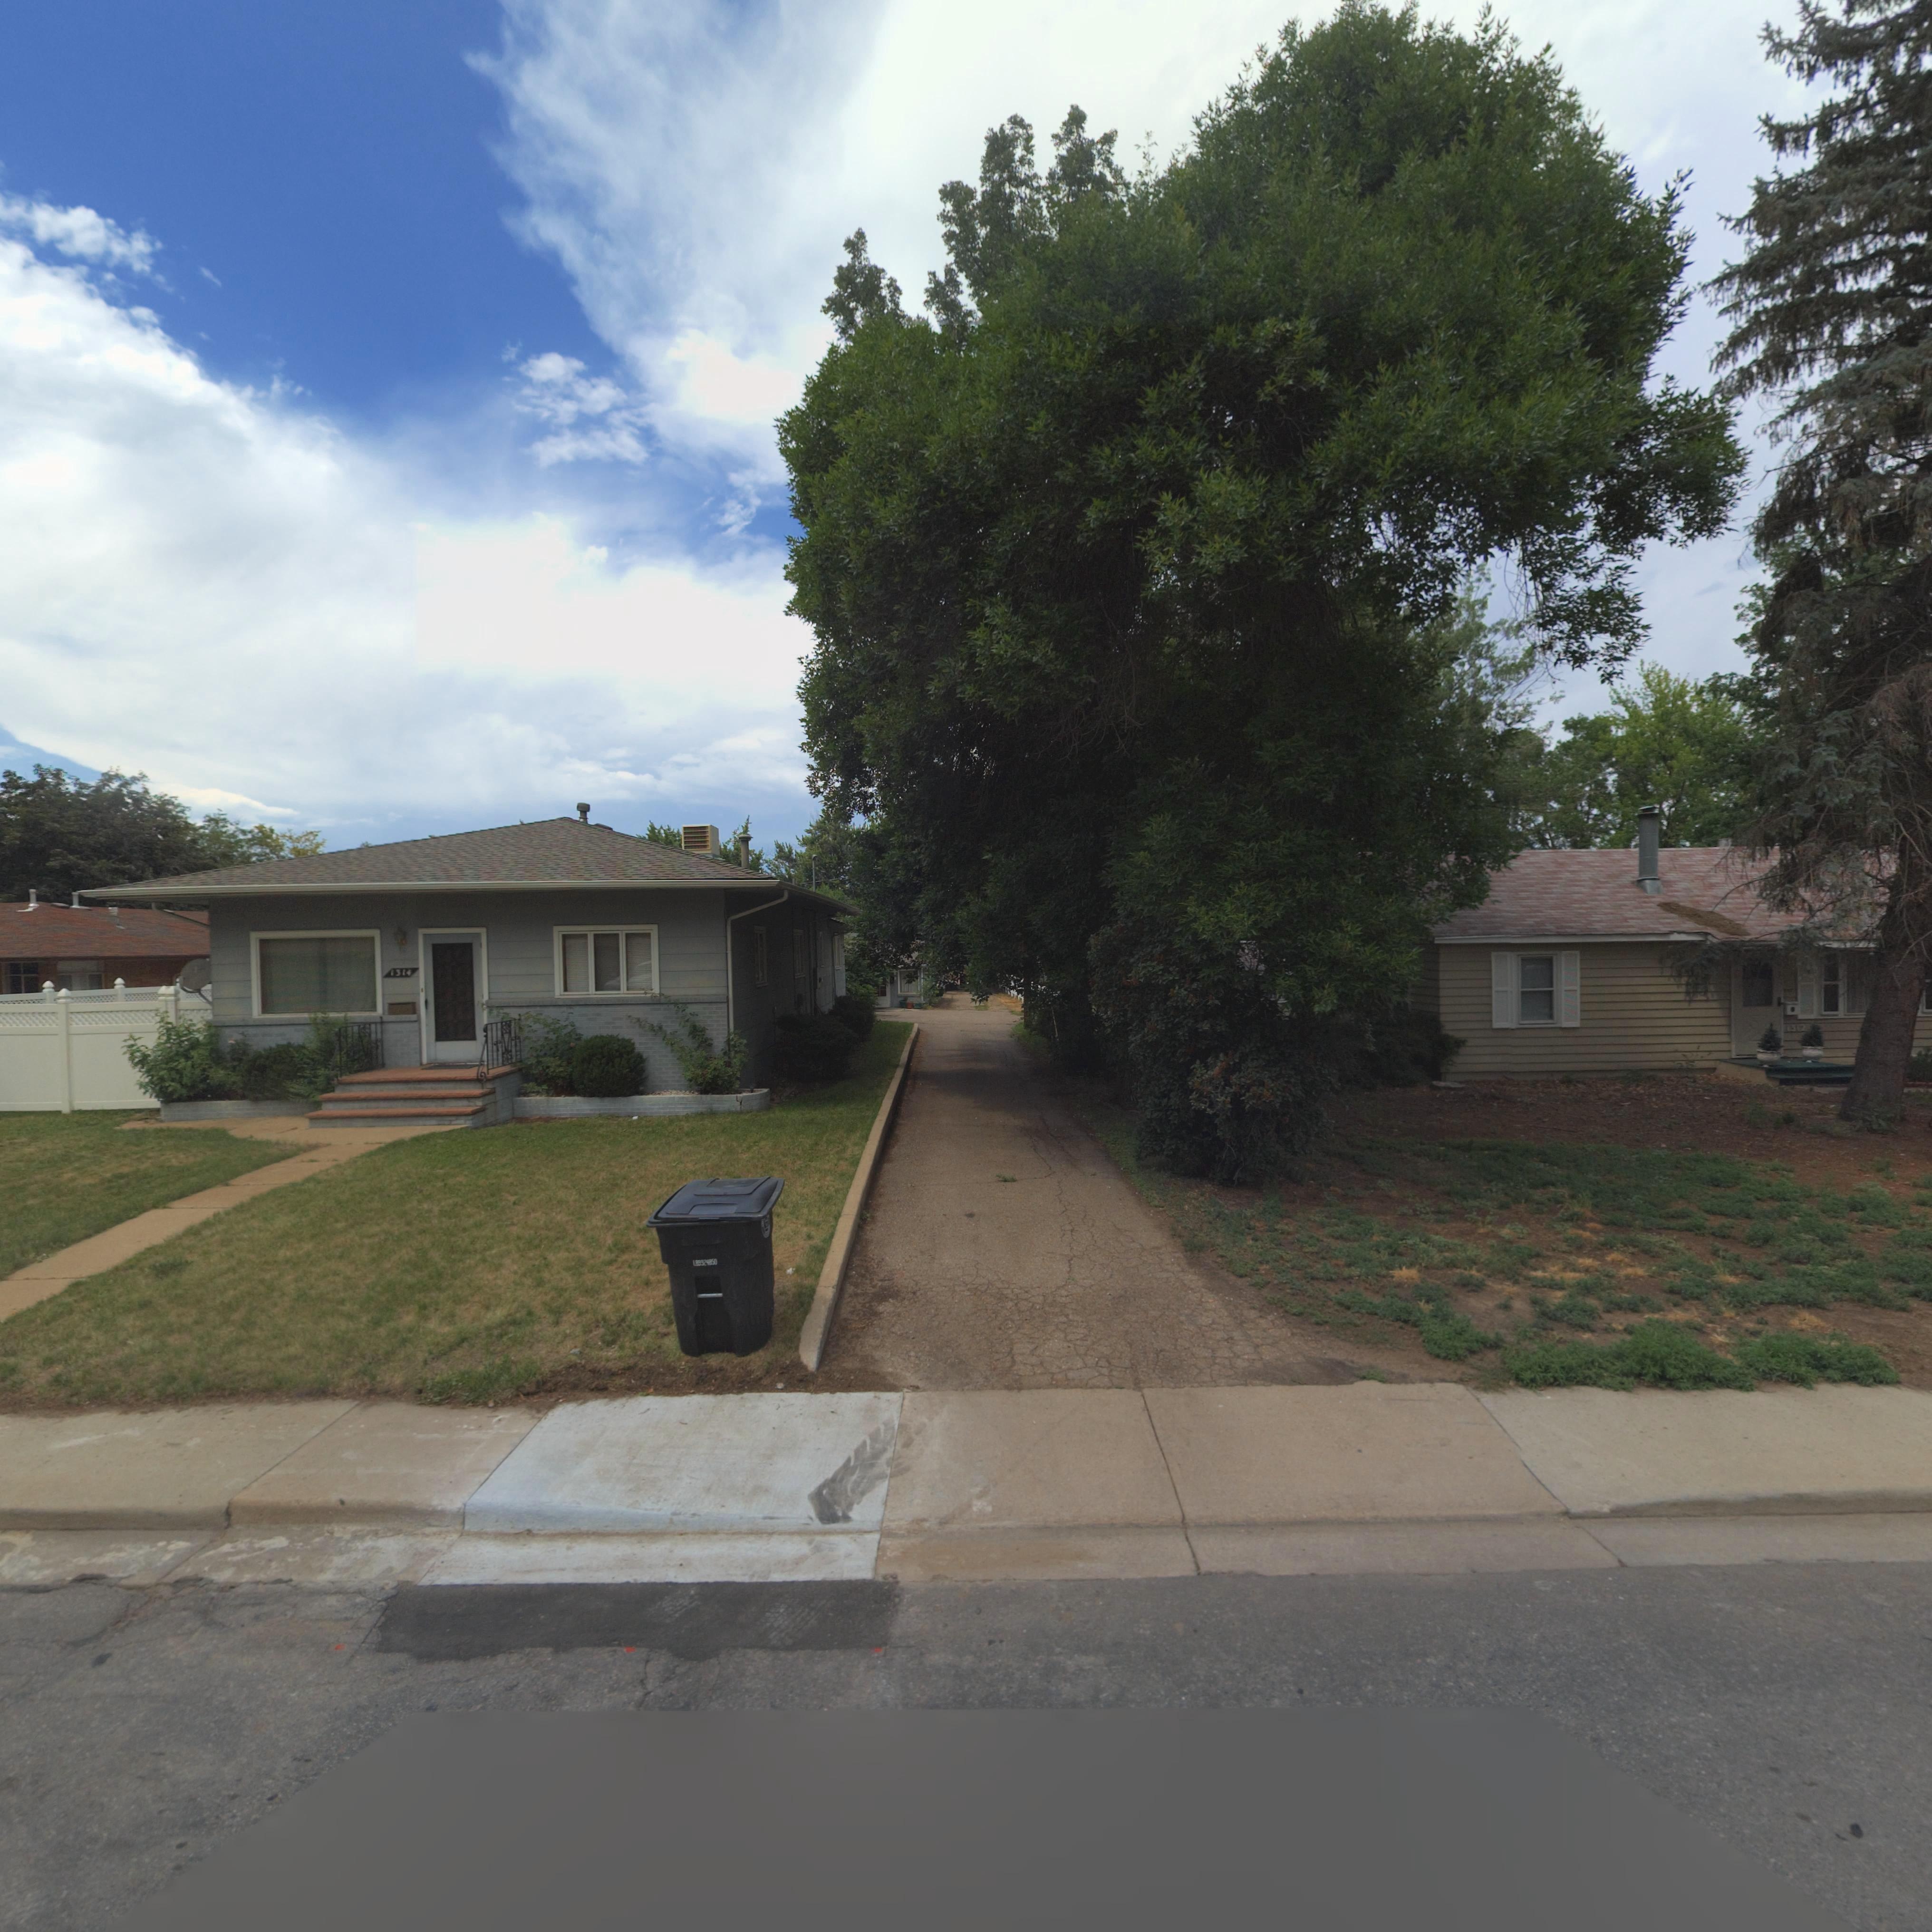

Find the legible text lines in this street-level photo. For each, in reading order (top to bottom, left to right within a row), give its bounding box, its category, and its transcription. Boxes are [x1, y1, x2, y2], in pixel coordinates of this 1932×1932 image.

[389, 968, 412, 976] StreetNumber: 1314
[1786, 1024, 1806, 1032] StreetNumber: 1312